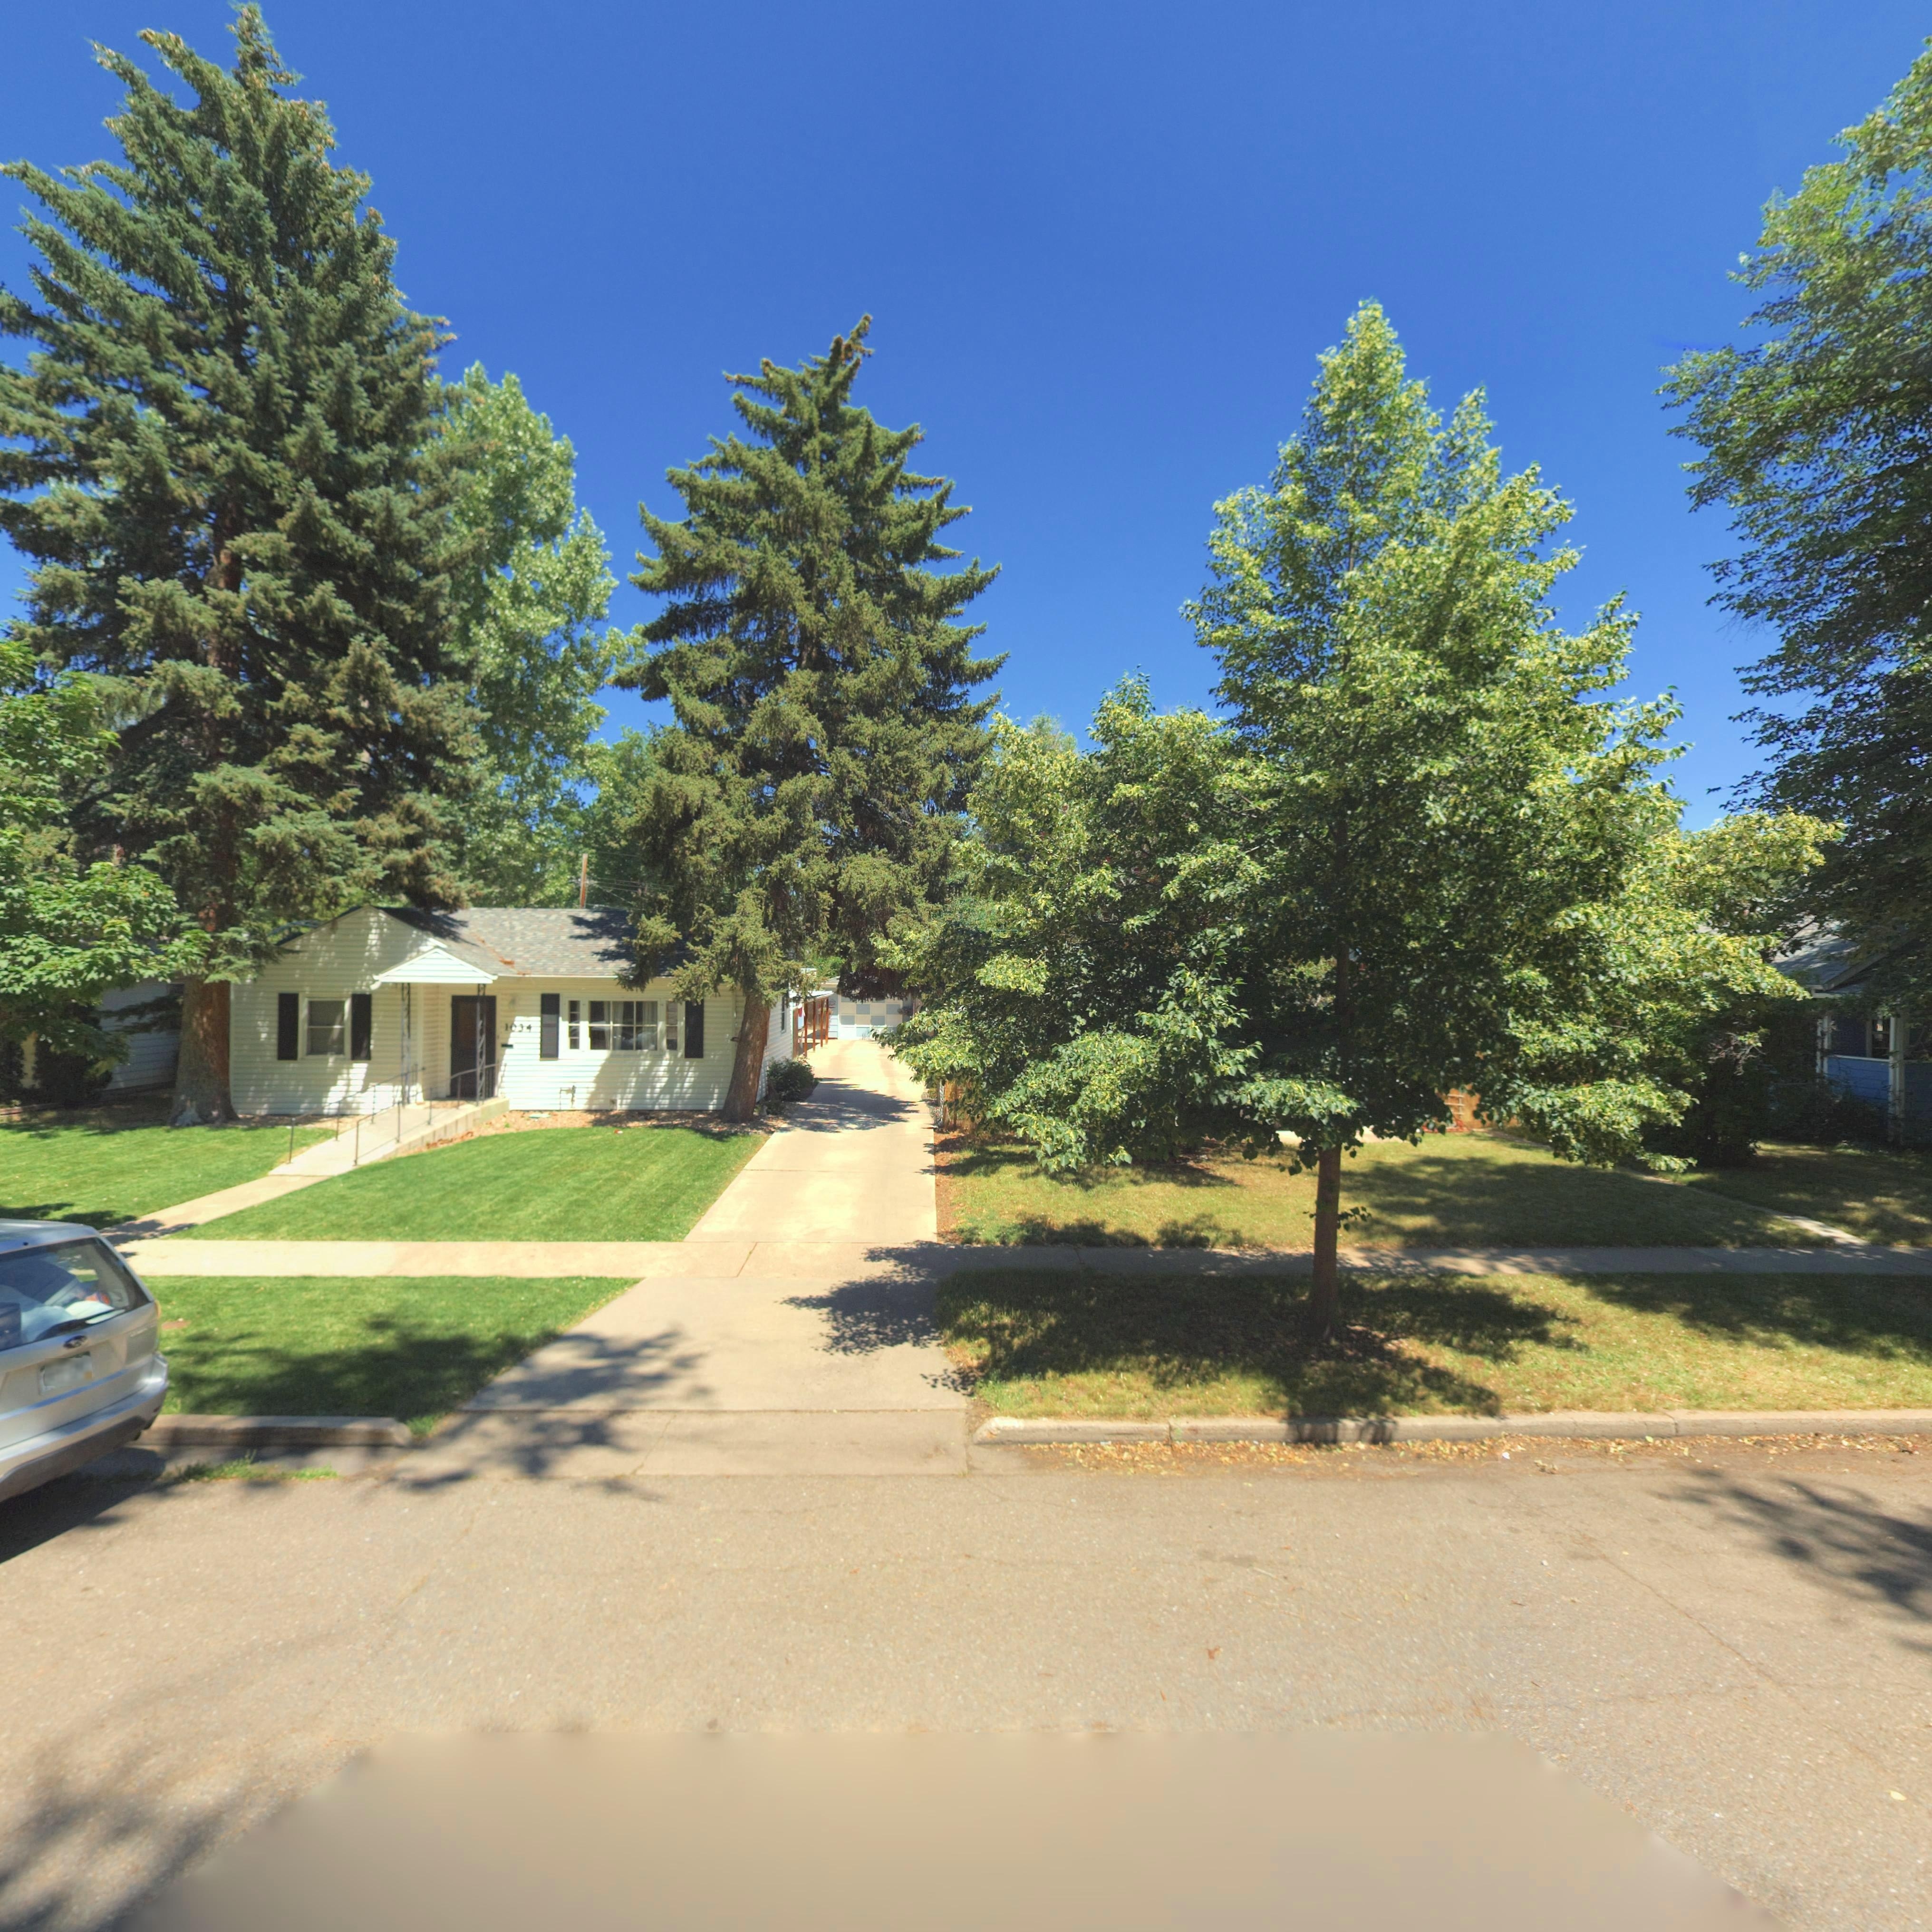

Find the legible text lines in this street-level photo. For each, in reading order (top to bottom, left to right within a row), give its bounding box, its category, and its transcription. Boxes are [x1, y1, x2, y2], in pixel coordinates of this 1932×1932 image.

[505, 1023, 532, 1033] StreetNumber: 1034